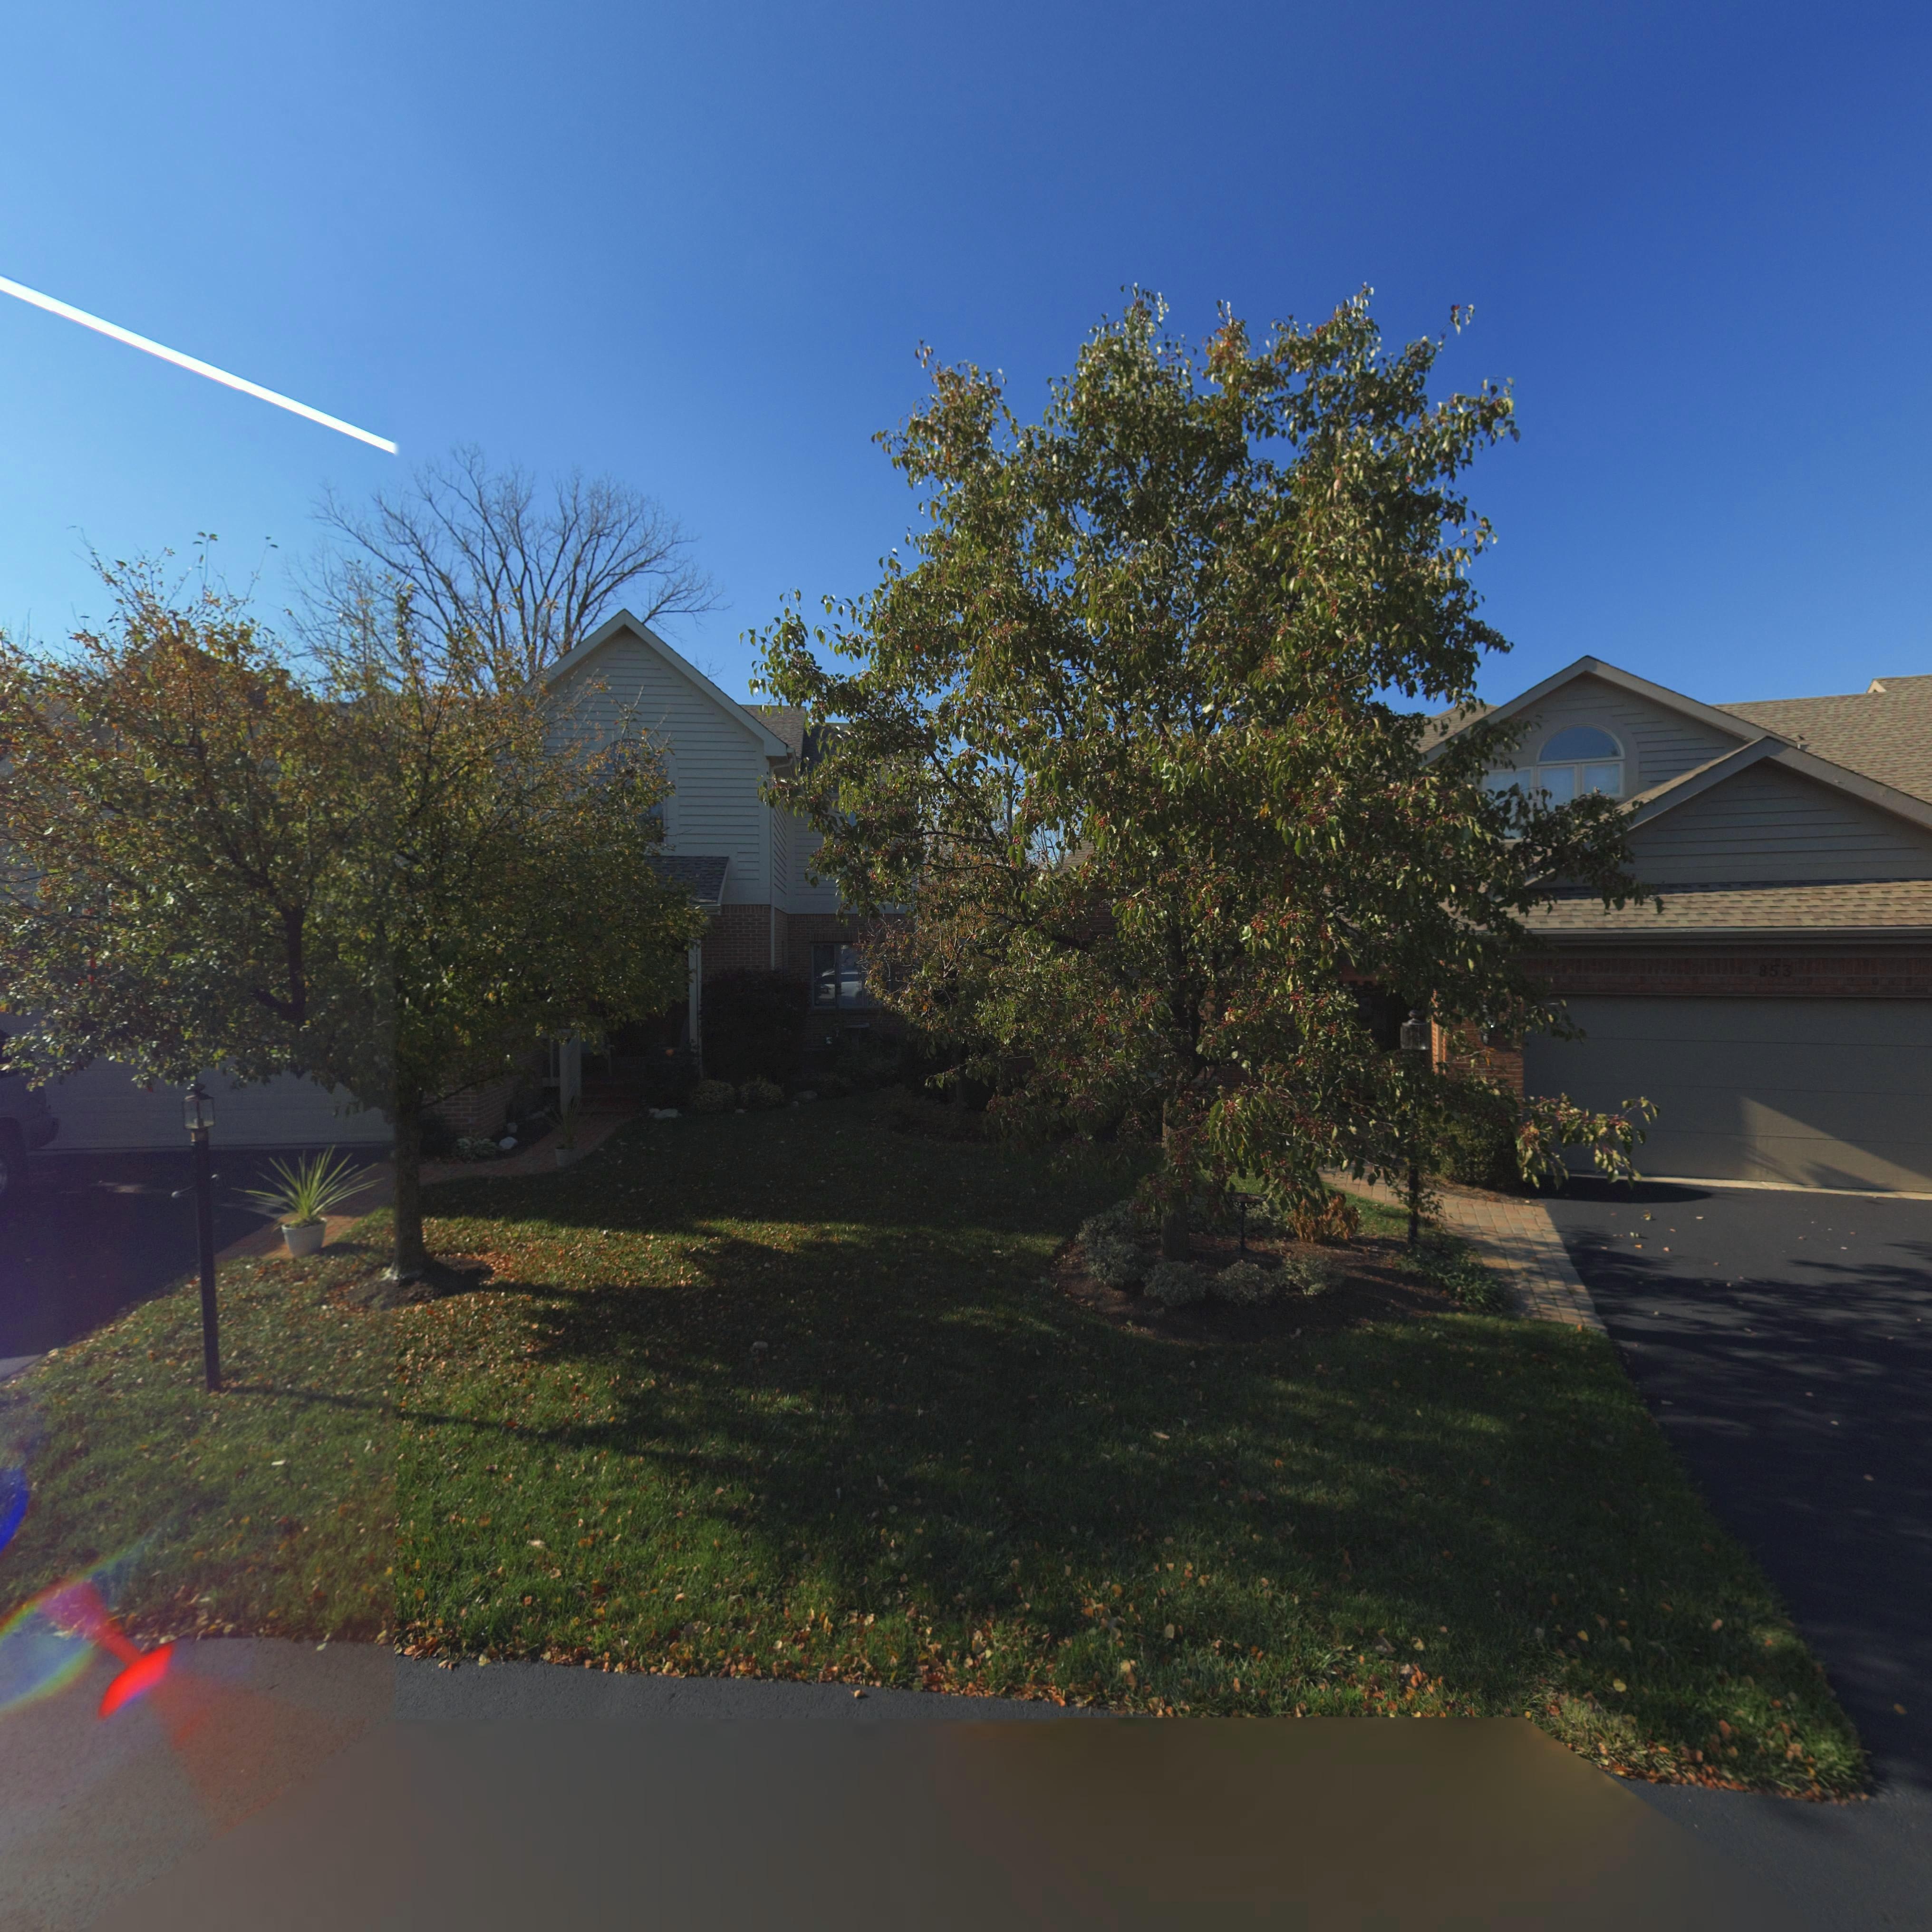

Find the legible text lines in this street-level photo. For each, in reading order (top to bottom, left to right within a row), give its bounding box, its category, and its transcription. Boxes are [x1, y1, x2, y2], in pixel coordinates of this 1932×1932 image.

[1758, 964, 1792, 978] StreetNumber: 853